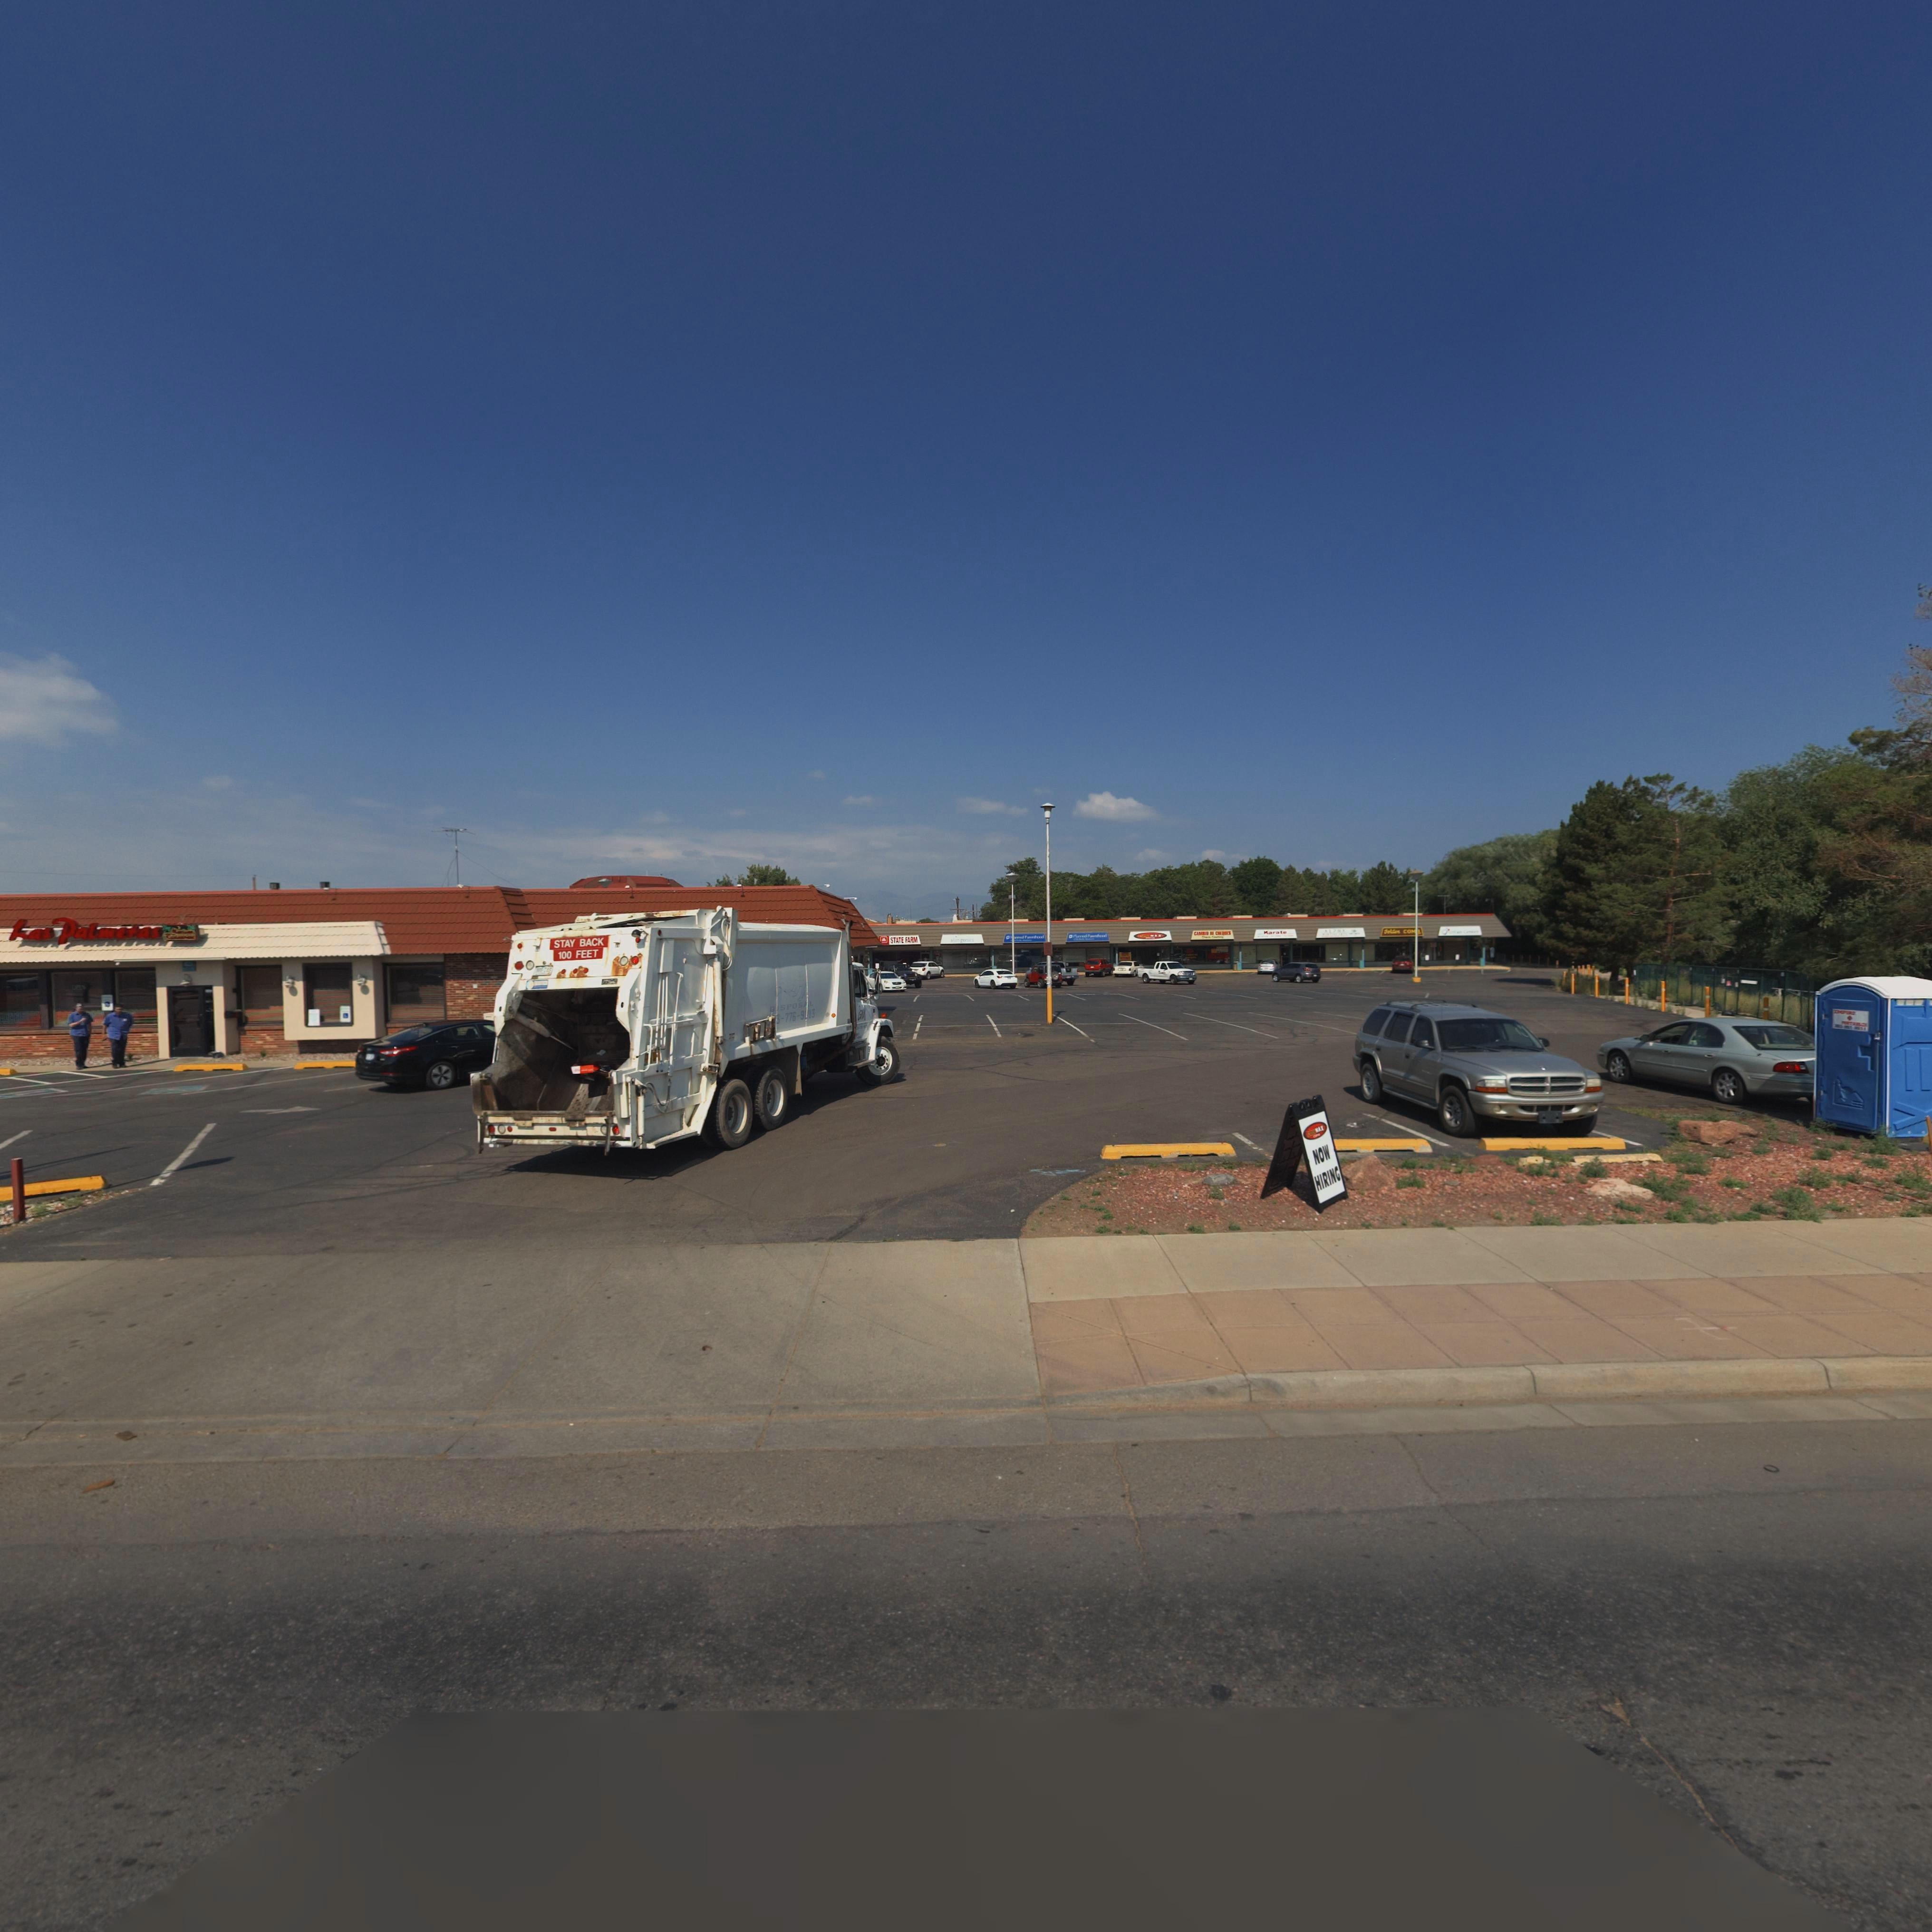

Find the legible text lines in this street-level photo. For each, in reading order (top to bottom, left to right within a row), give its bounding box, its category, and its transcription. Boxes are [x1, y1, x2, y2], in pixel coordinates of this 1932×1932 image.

[8, 917, 161, 945] BusinessName: Las Palmeras
[165, 933, 194, 939] BusinessName: Restaurant
[170, 927, 193, 934] BusinessName: Mexican
[1010, 934, 1044, 938] BusinessName: **anned Parenthood
[1073, 933, 1107, 938] BusinessName: Planned Parenthood
[1150, 934, 1161, 937] BusinessName: MAX
[1194, 930, 1231, 935] BusinessName: CA*** OF C******
[1263, 930, 1286, 934] BusinessName: Karate
[1383, 928, 1420, 934] BusinessName: Golden CO**
[890, 936, 918, 943] BusinessName: STATE FARM
[950, 937, 974, 943] BusinessName: slimgenics